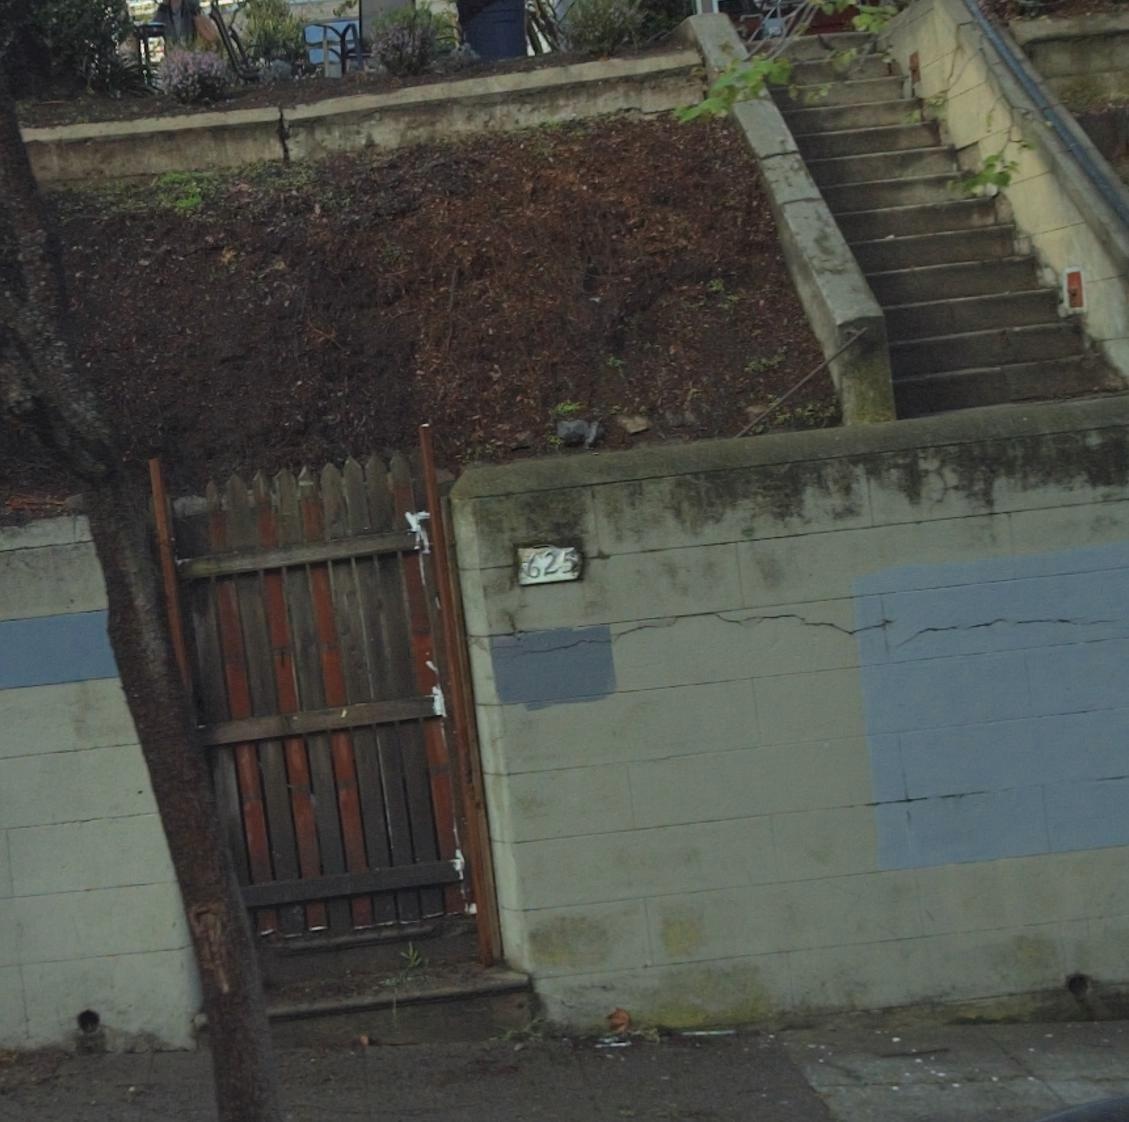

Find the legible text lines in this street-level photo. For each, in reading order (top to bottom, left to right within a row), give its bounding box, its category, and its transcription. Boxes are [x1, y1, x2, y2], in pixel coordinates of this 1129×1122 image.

[524, 546, 579, 582] StreetNumber: 625